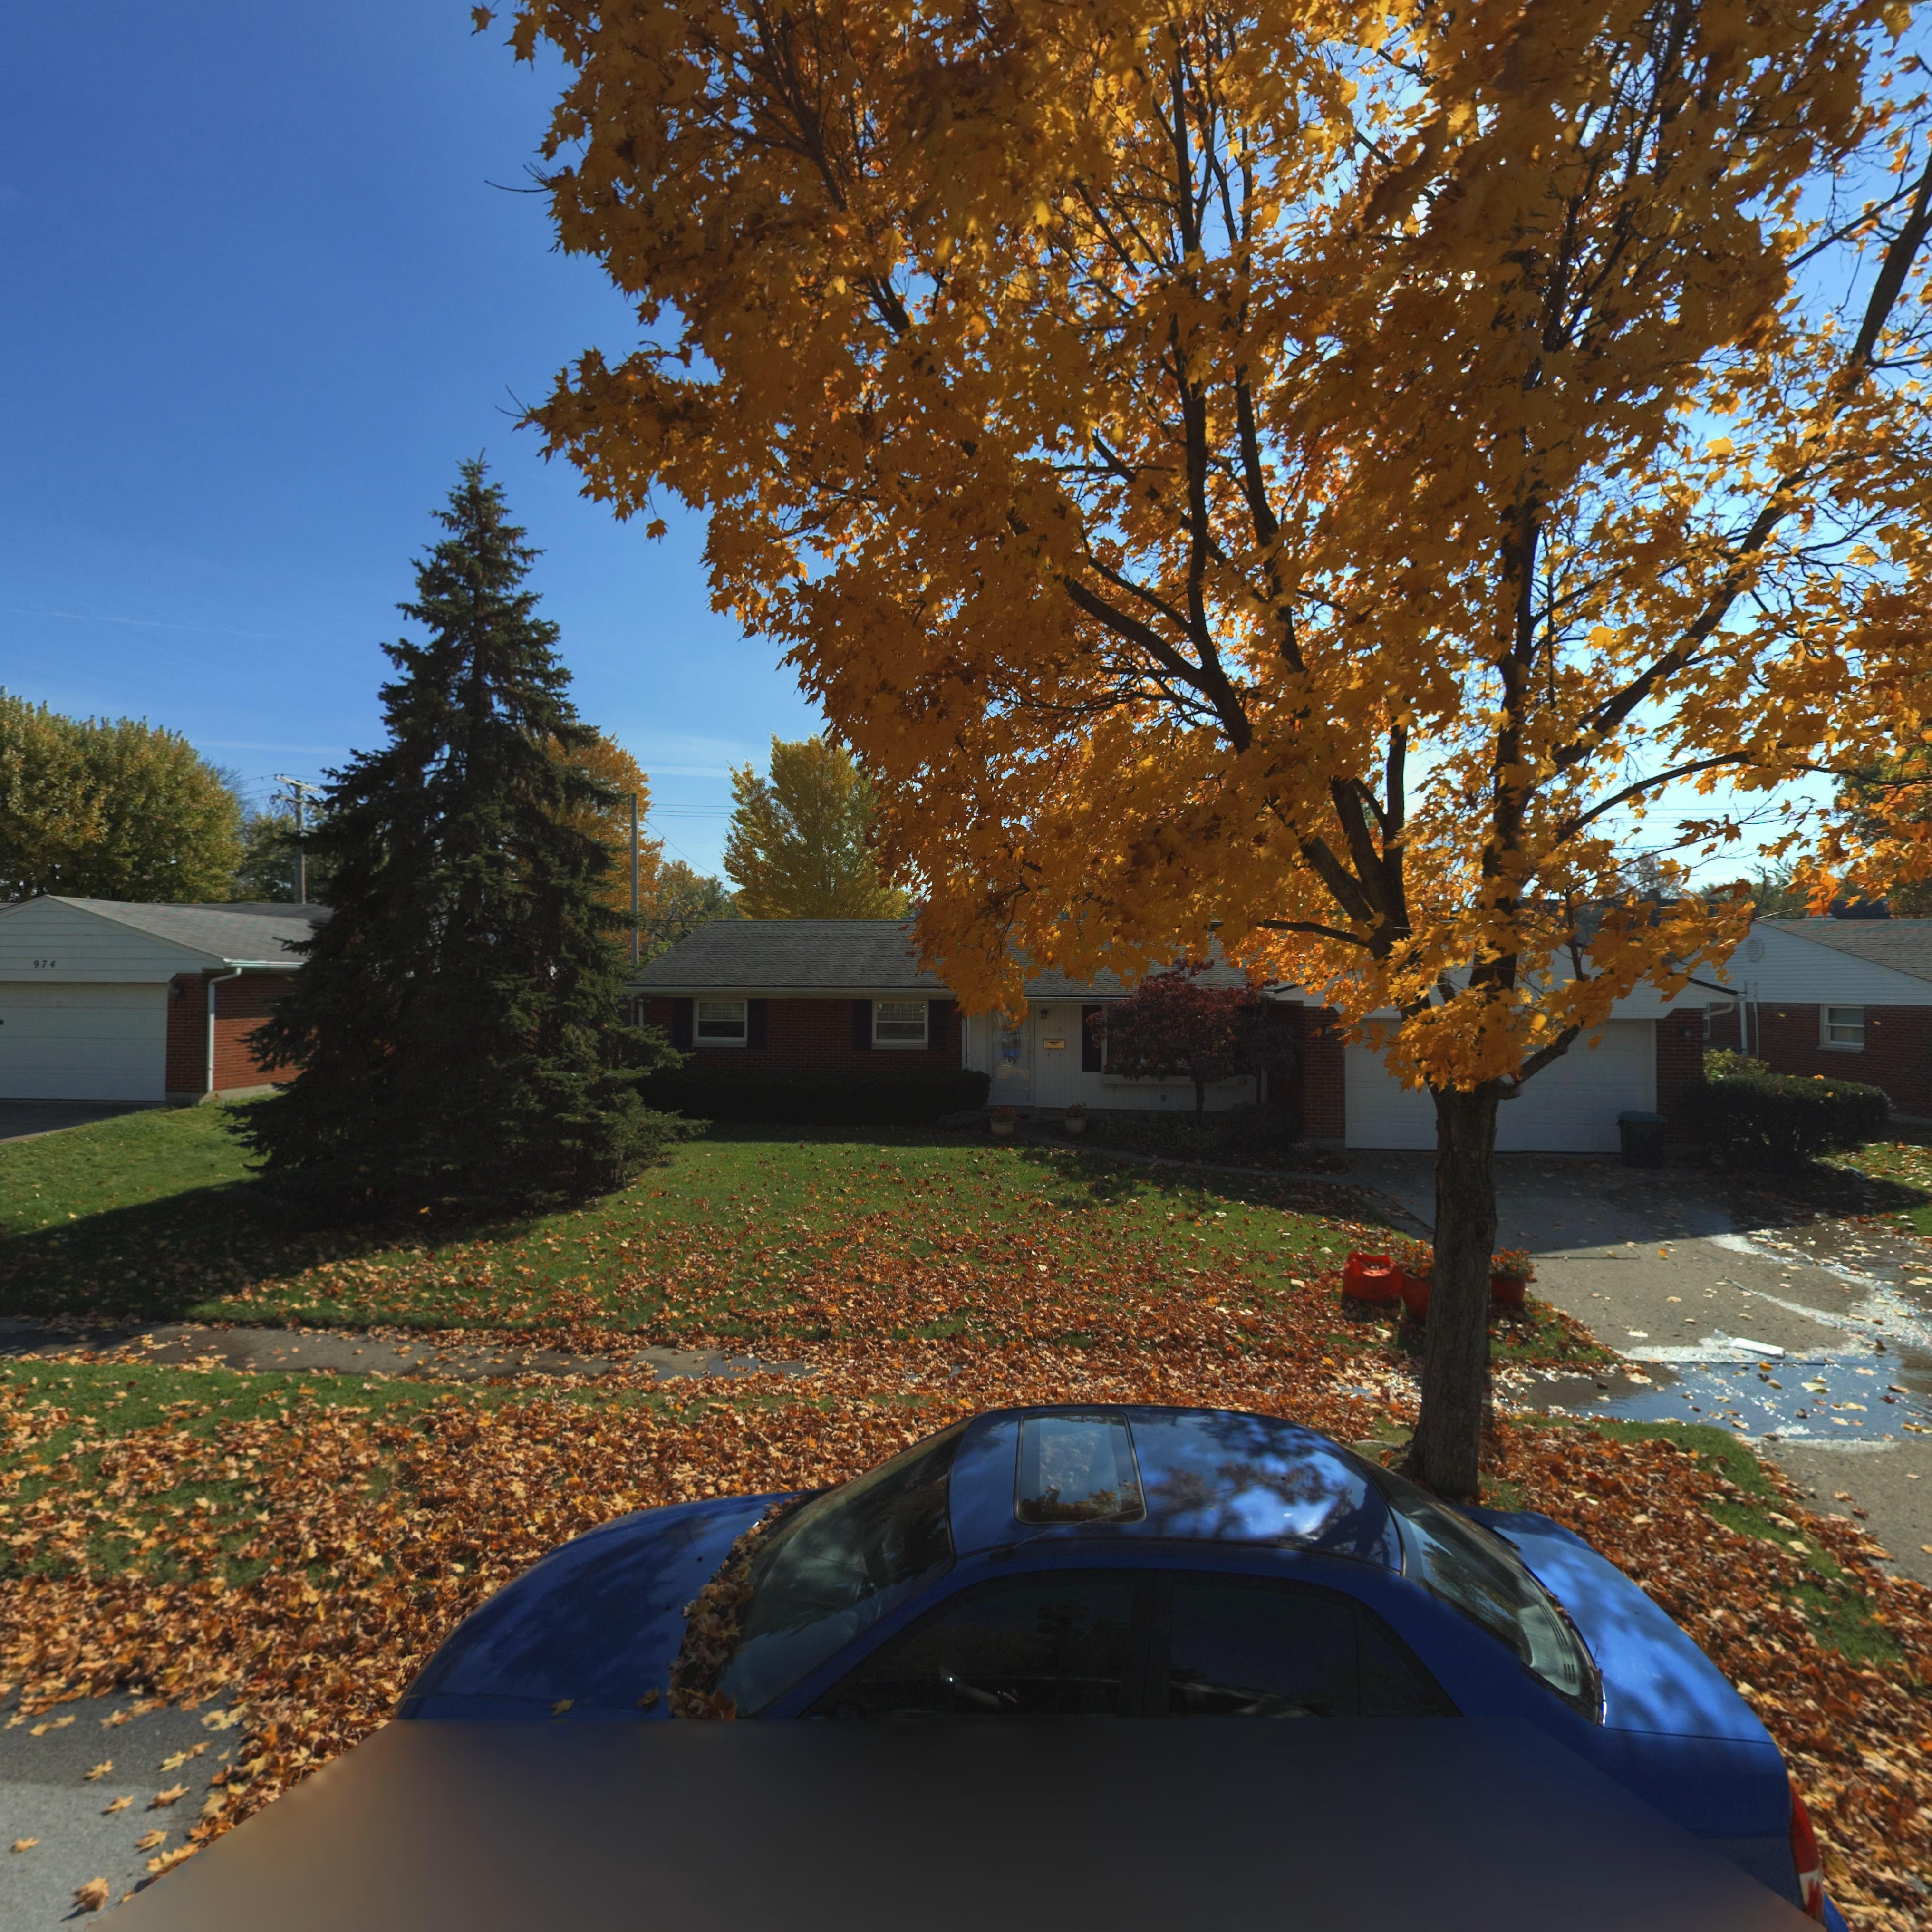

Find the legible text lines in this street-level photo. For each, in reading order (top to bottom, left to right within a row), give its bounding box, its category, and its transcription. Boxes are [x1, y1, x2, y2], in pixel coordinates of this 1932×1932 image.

[33, 959, 57, 969] StreetNumber: 974